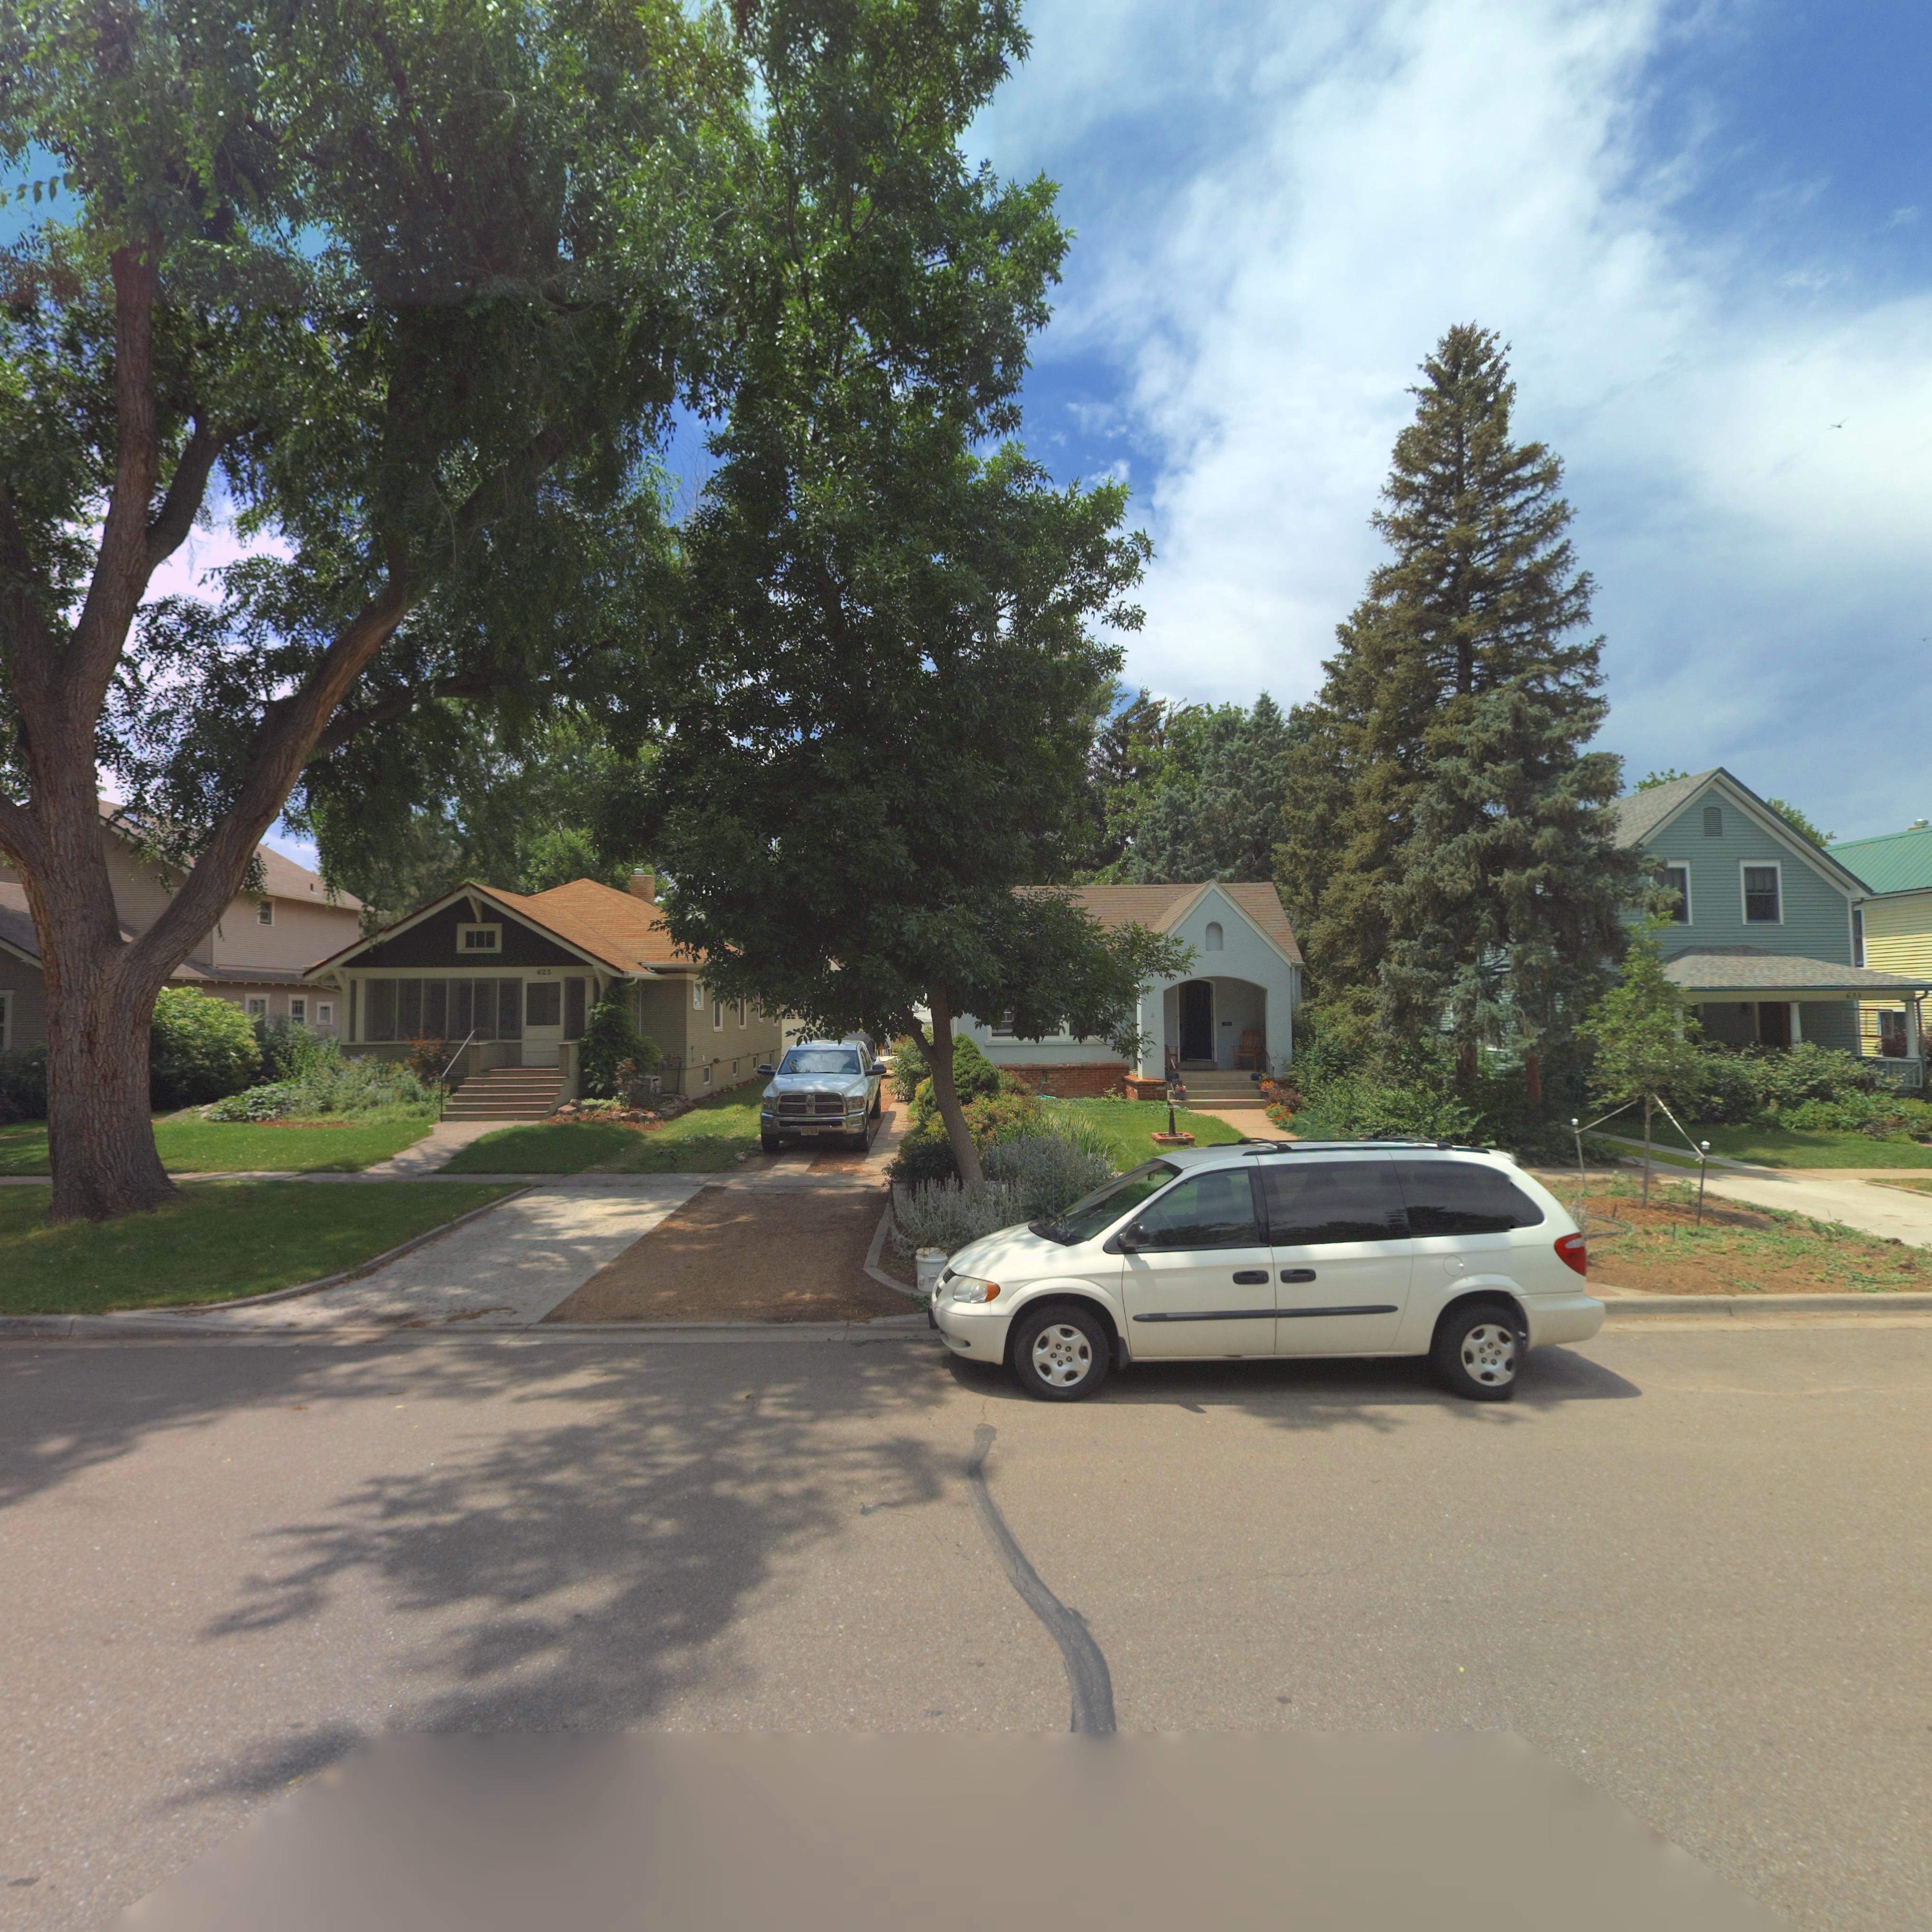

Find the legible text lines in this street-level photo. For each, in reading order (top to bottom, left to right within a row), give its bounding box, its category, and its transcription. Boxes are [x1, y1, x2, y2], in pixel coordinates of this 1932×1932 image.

[537, 968, 551, 975] StreetNumber: 625
[1845, 991, 1862, 999] StreetNumber: 645